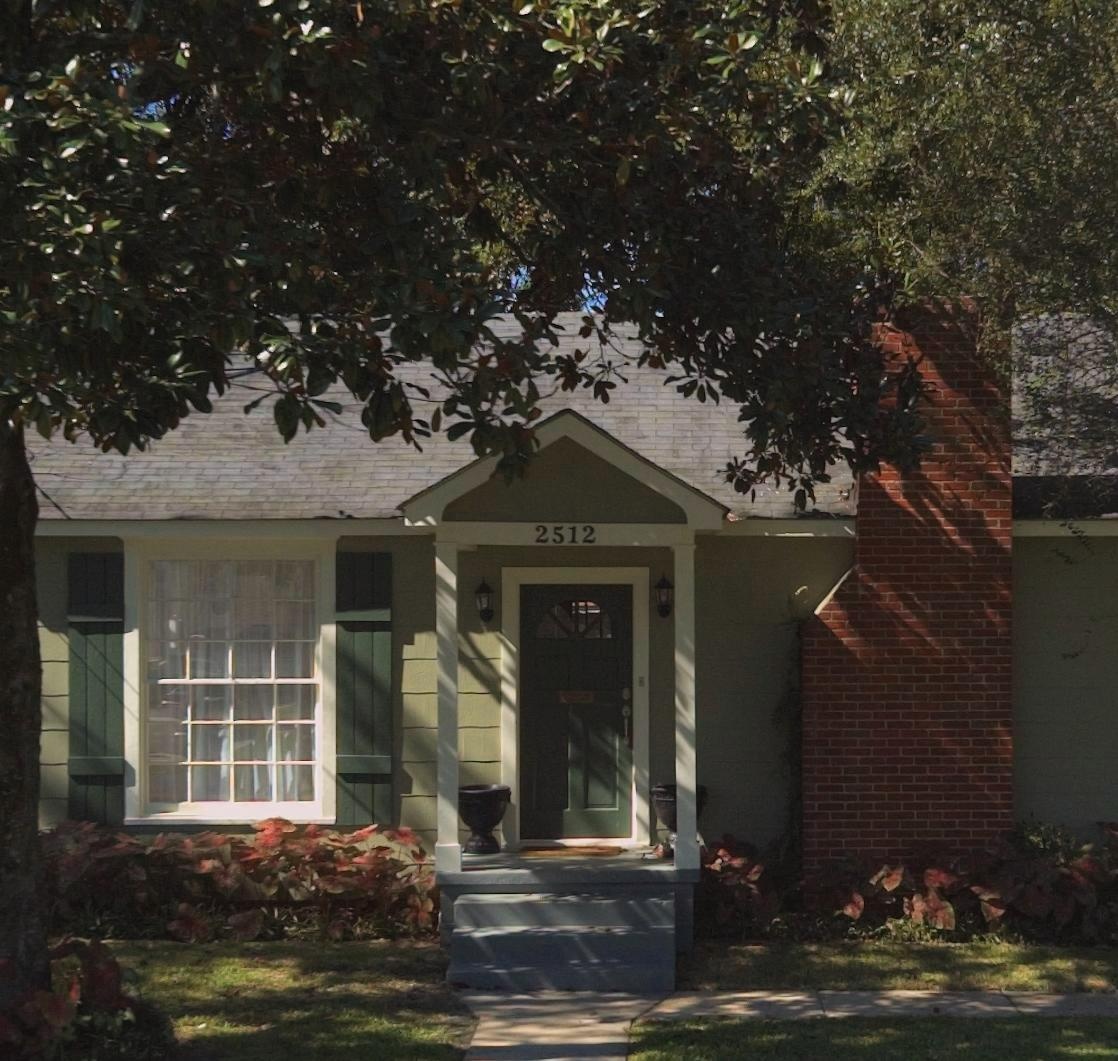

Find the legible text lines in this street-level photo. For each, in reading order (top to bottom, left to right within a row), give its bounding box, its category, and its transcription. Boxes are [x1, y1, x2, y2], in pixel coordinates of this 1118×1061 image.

[533, 523, 598, 546] StreetNumber: 2512